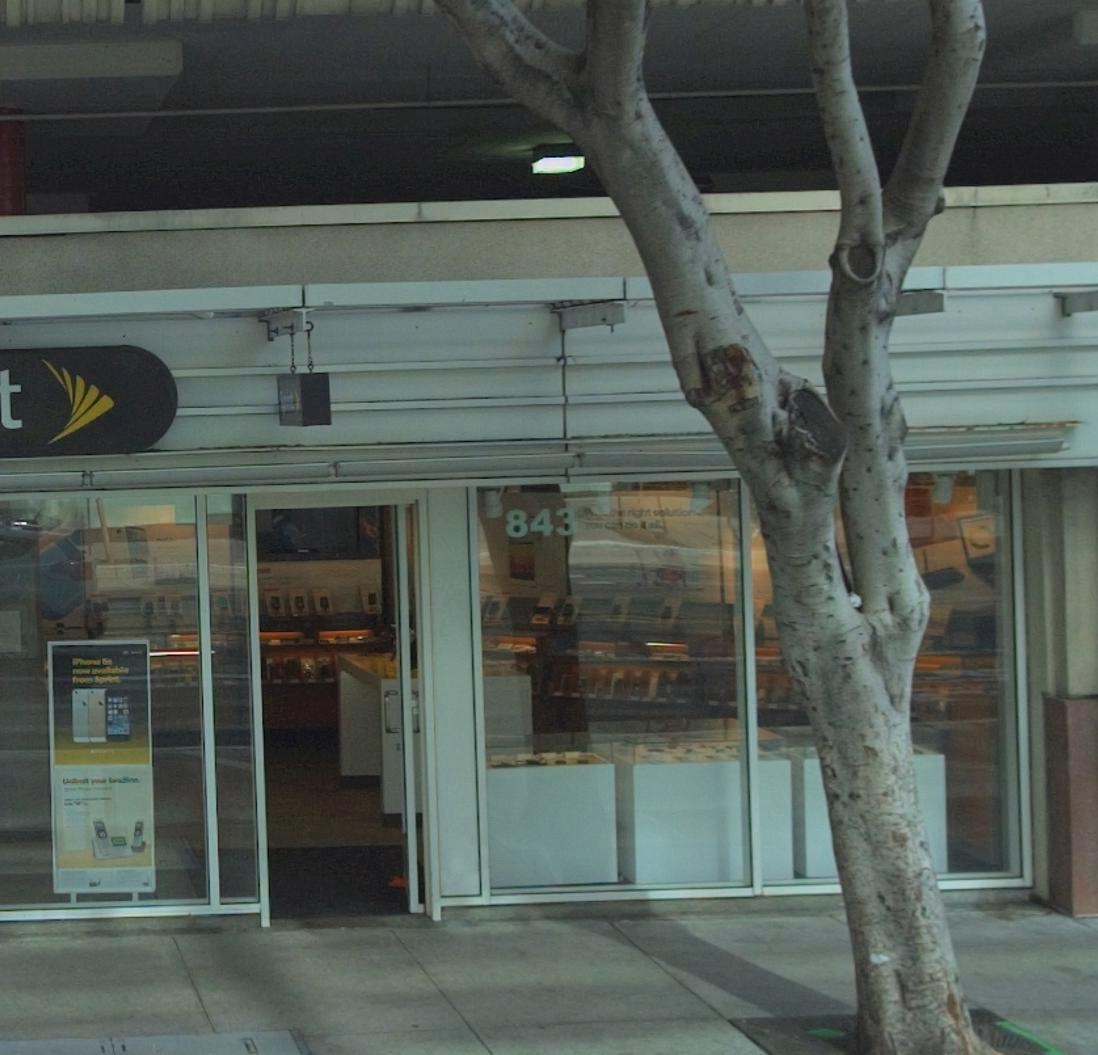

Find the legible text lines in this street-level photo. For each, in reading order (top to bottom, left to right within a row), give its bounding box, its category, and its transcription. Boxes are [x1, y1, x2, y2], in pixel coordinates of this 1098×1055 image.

[624, 506, 699, 520] None: right *olution
[501, 505, 579, 542] StreetNumber: 843
[581, 520, 614, 534] None: you c
[69, 655, 103, 668] None: iPhone
[90, 667, 104, 678] None: ev
[70, 675, 125, 686] None: fro* Sprint.